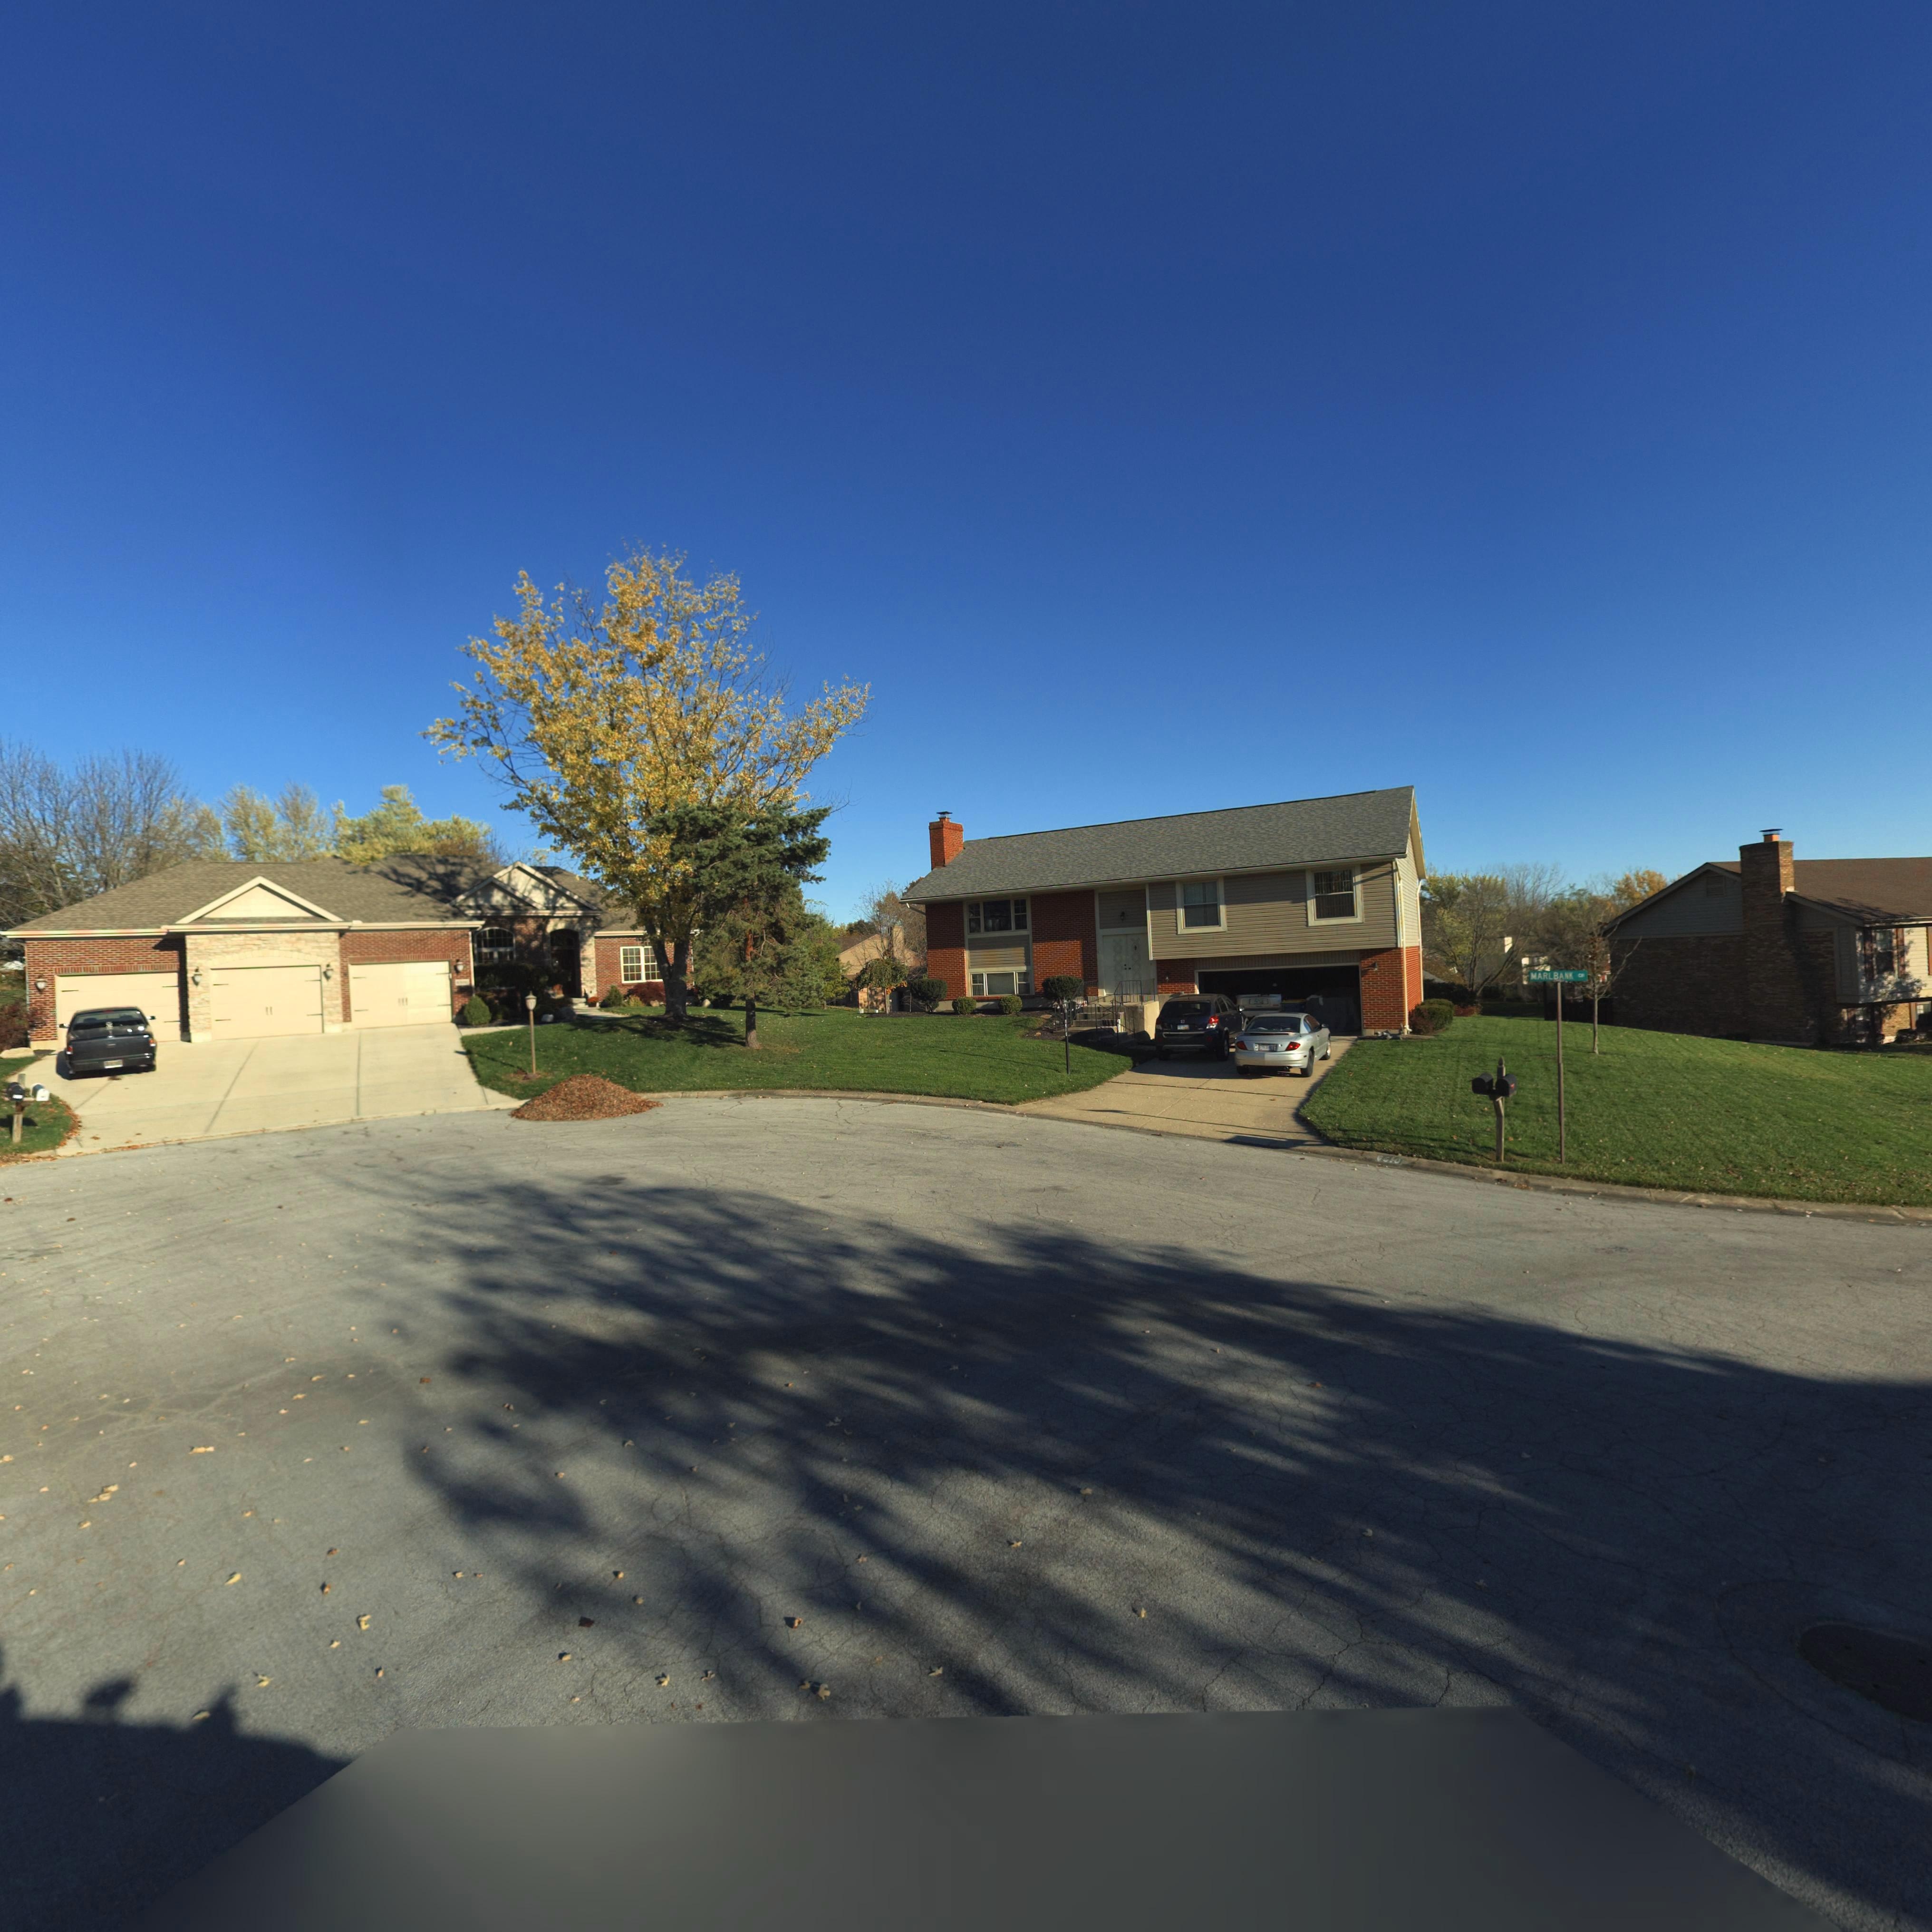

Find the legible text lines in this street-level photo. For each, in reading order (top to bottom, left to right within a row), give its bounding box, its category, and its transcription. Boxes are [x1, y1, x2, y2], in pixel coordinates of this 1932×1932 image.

[1529, 971, 1575, 981] StreetName: MARLBANK
[1376, 1154, 1402, 1165] StreetNumber: **10